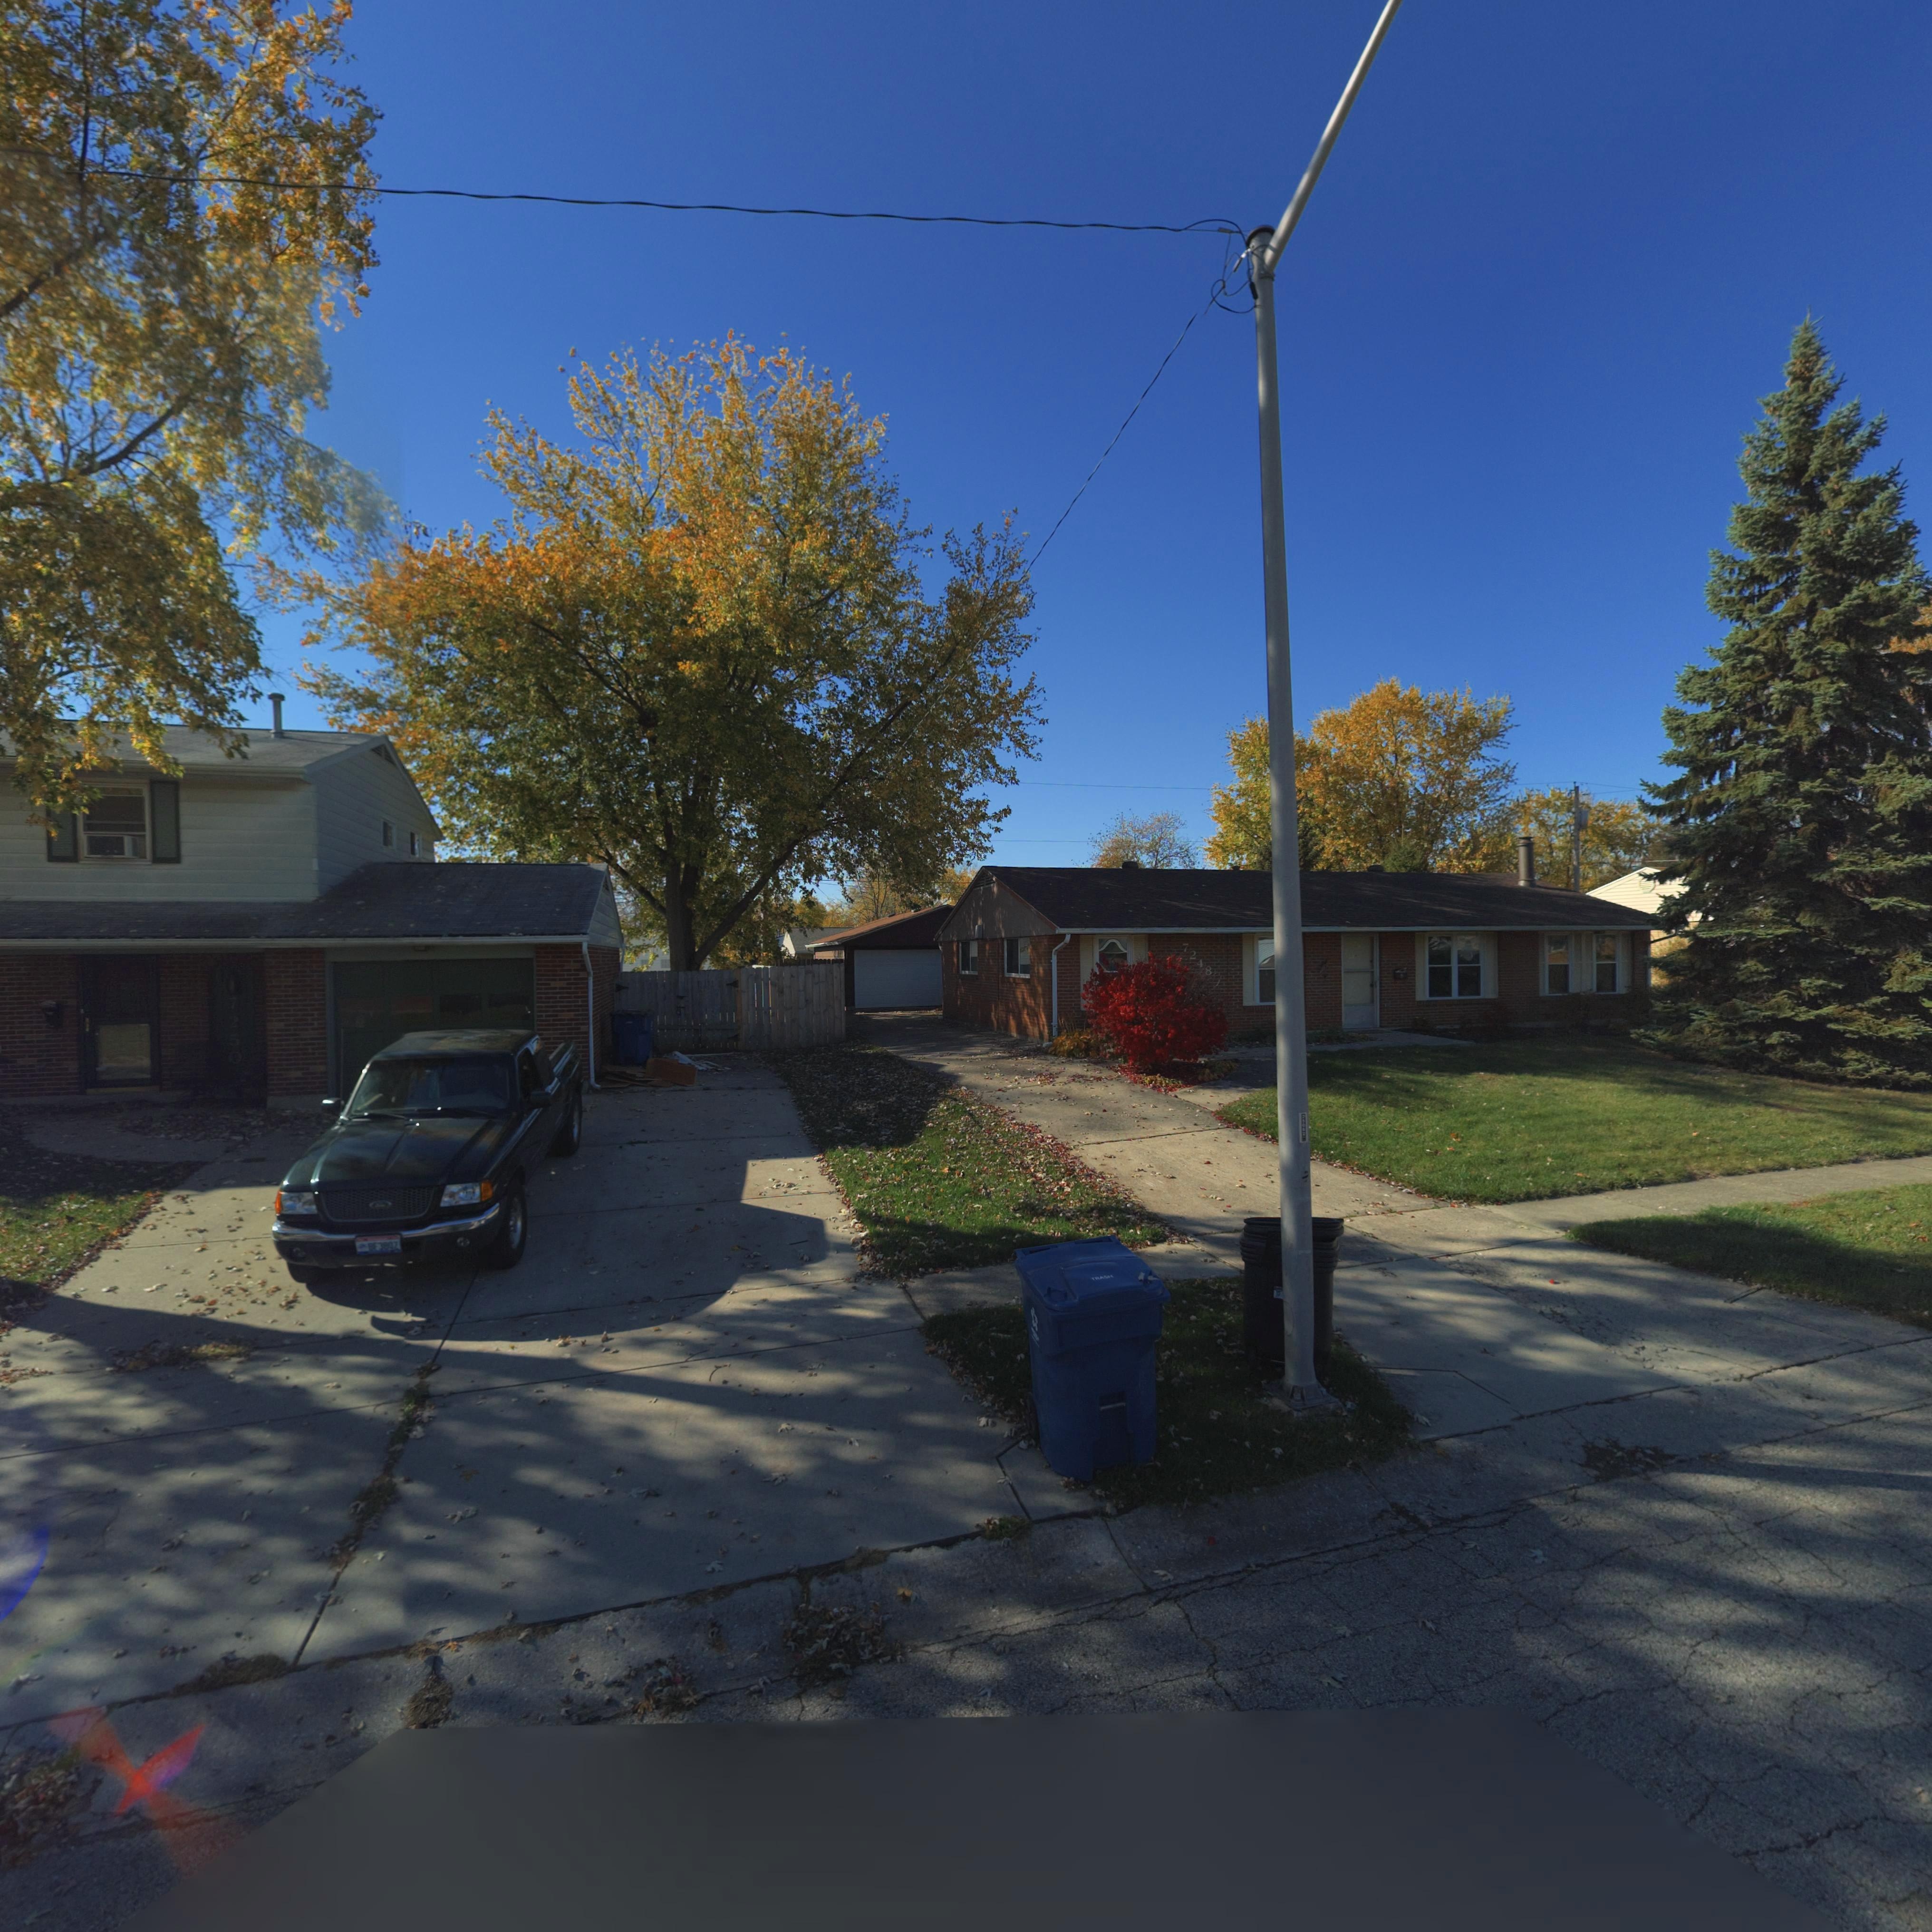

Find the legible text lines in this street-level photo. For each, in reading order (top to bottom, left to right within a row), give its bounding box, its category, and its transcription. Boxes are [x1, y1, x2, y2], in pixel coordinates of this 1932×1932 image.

[1182, 942, 1214, 977] StreetNumber: 7248
[224, 994, 246, 1068] StreetNumber: 7250